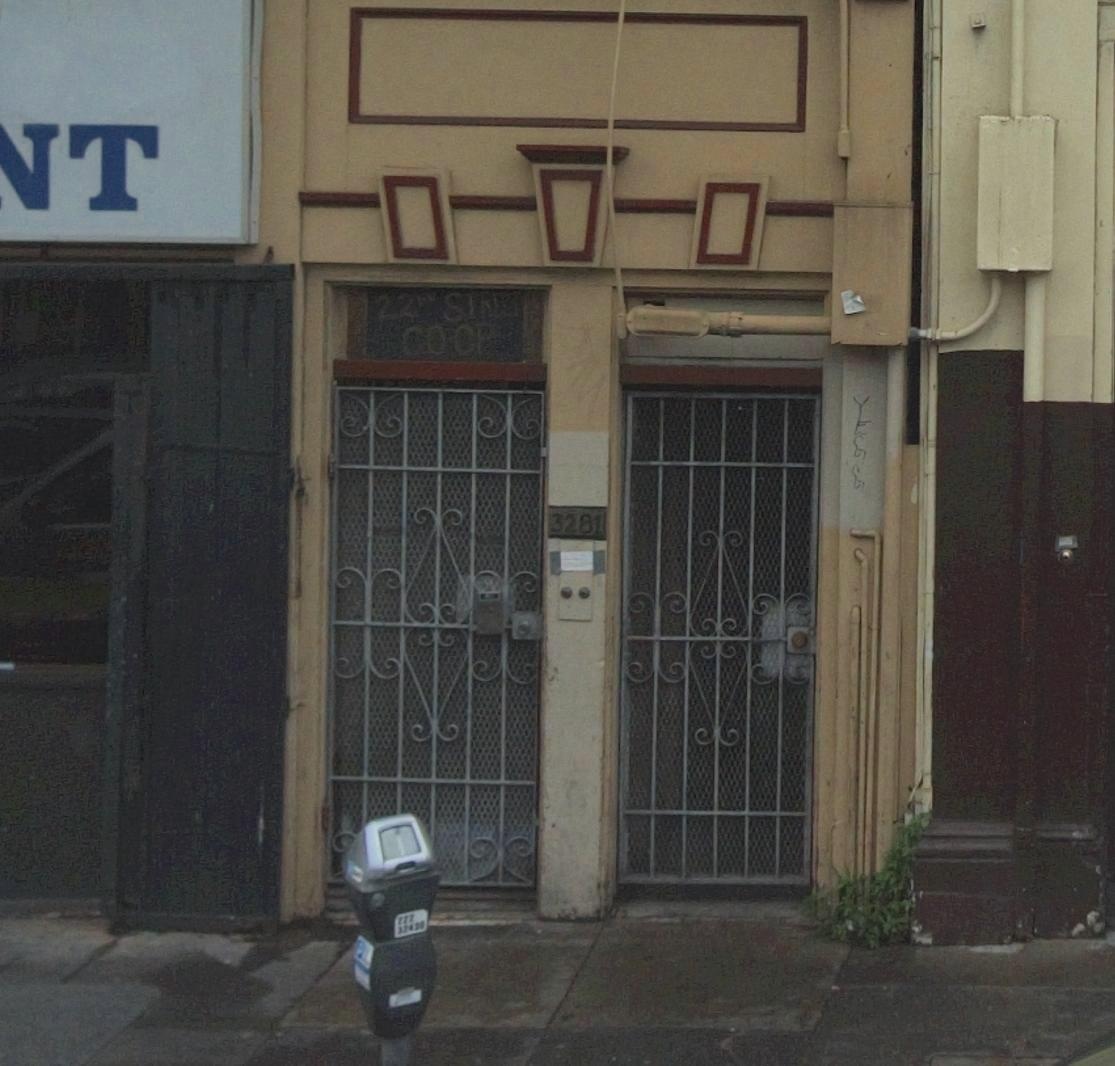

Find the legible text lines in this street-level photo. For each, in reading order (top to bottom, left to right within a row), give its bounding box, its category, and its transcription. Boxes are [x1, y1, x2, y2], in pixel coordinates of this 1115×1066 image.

[64, 121, 160, 216] BusinessName: T
[373, 290, 525, 324] BusinessName: 22nd STREET
[398, 322, 498, 360] BusinessName: CO OP
[549, 512, 604, 537] StreetNumber: 3281